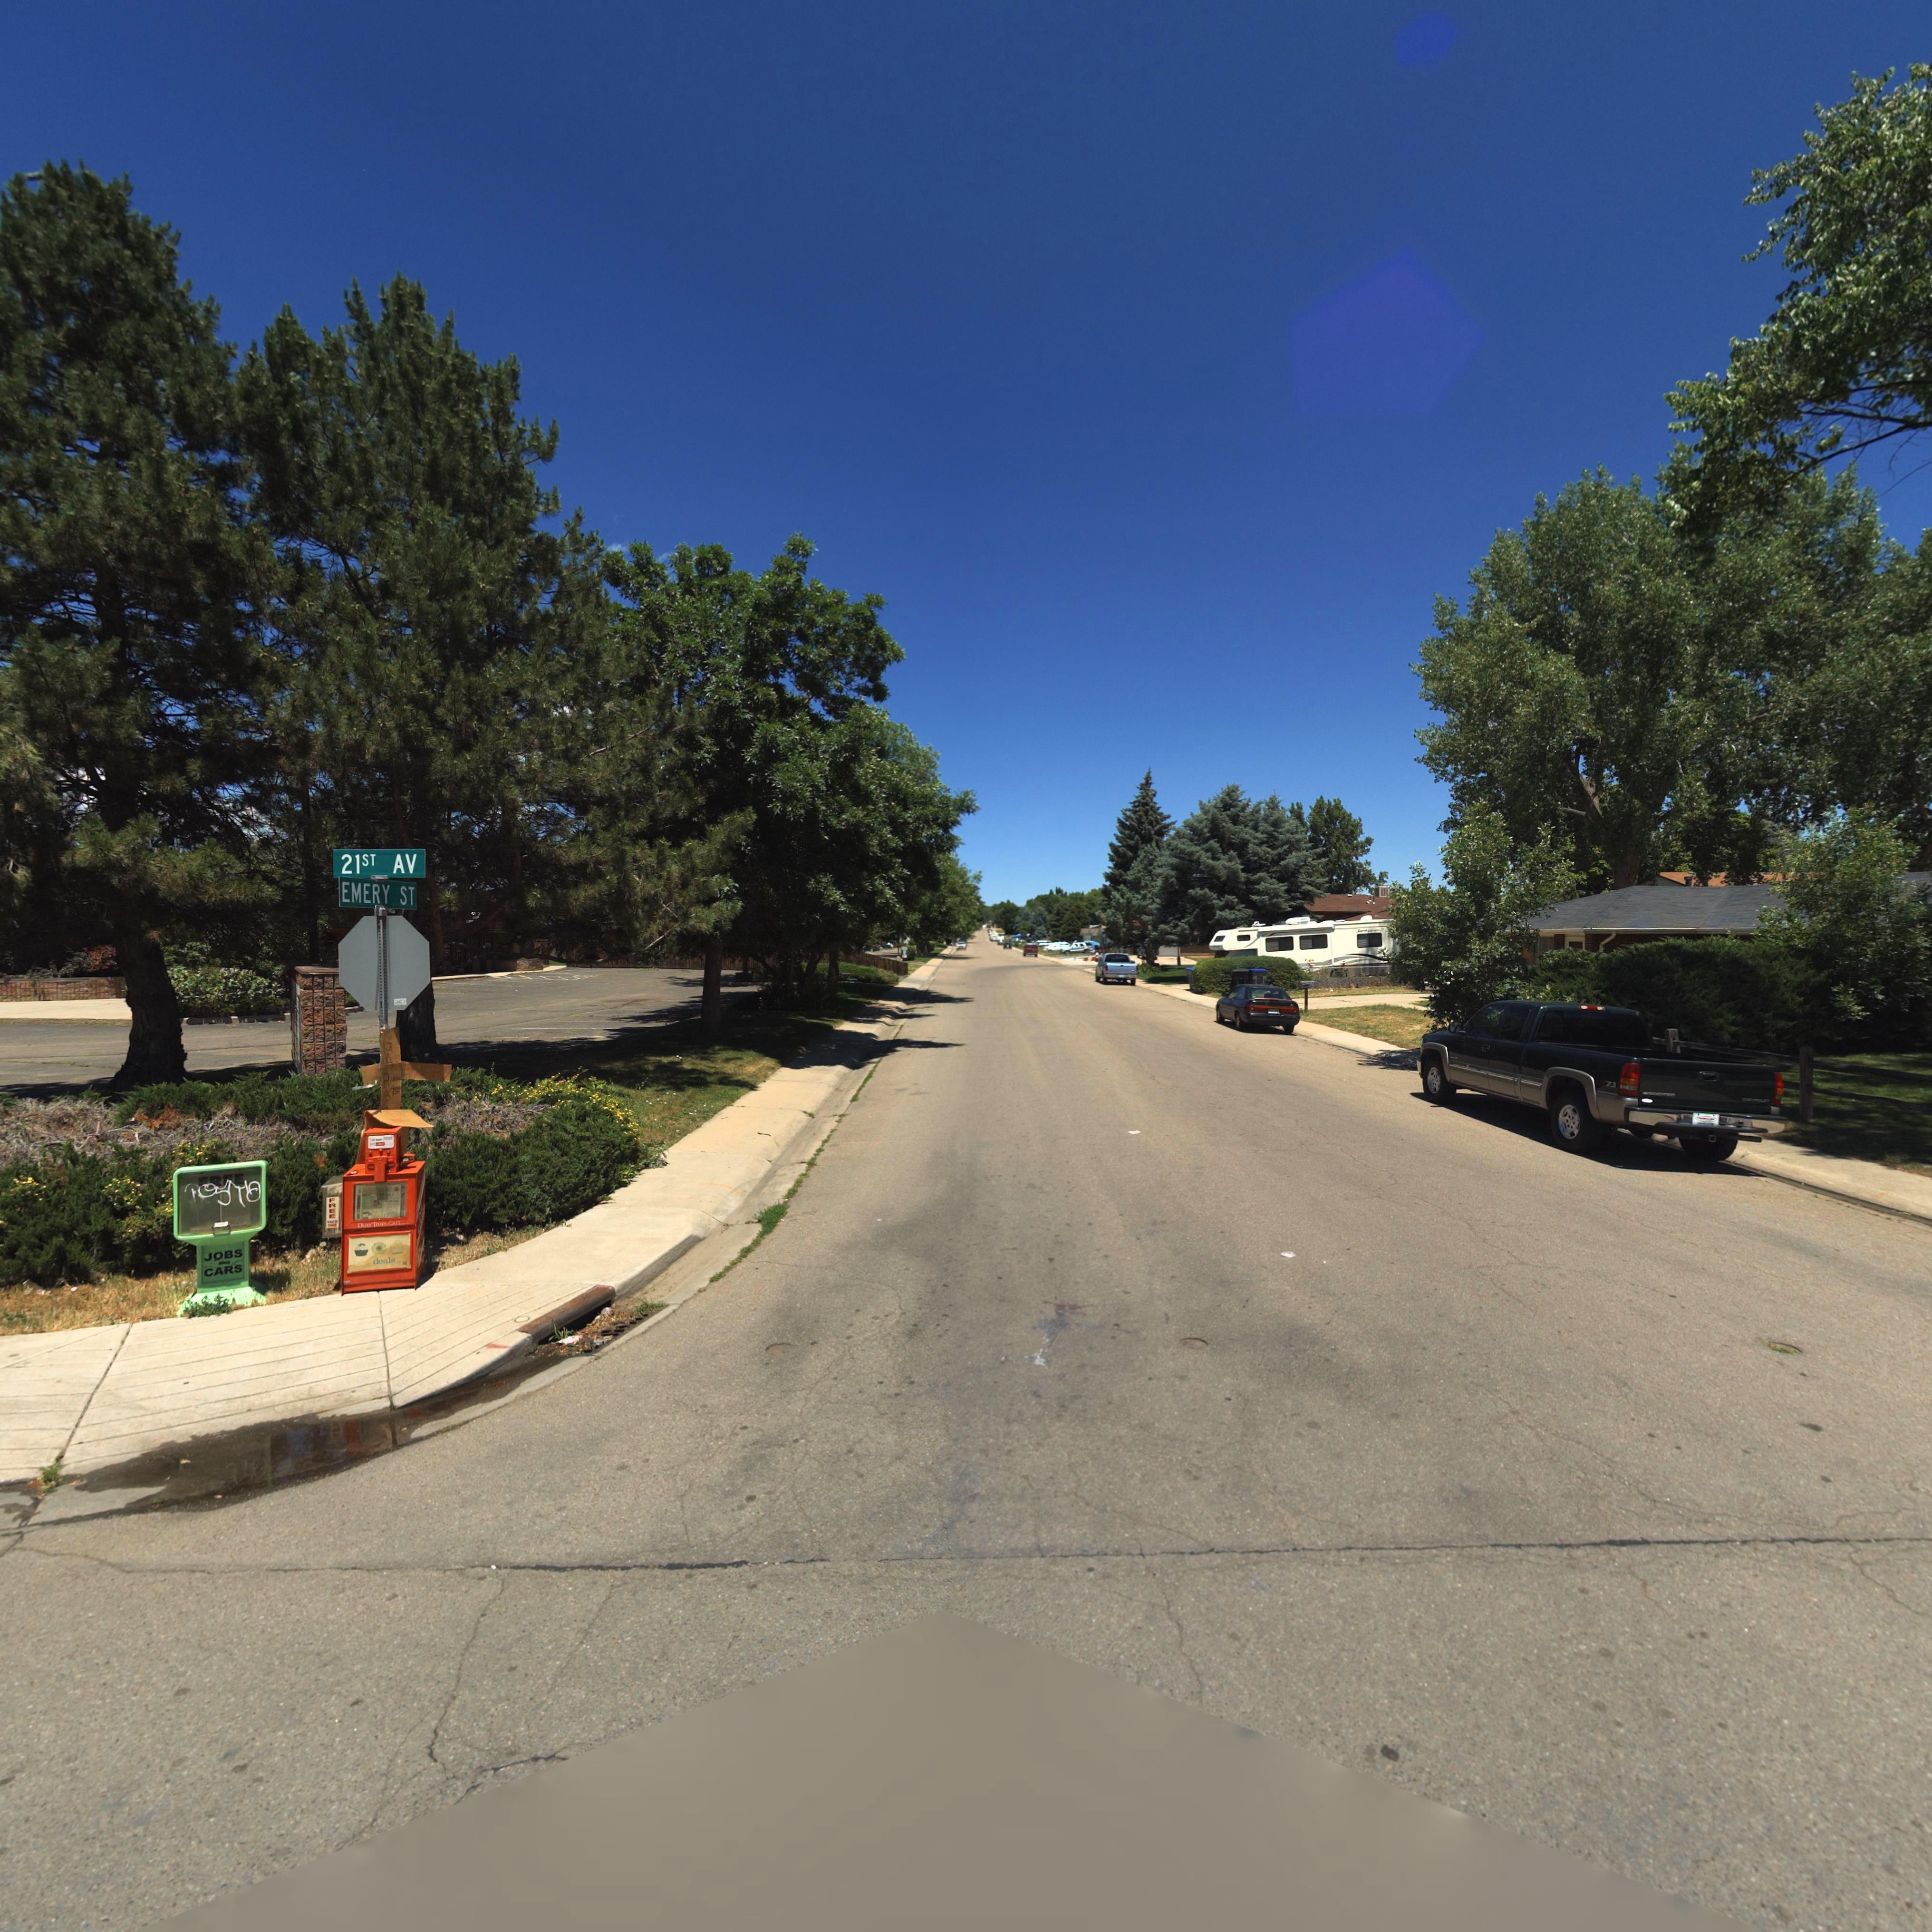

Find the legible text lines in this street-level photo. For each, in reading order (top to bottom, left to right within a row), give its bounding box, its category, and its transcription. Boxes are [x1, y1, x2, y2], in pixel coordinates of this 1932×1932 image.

[337, 851, 419, 875] StreetNumber: 21st AV
[338, 878, 417, 908] StreetNumber: EMERY ST